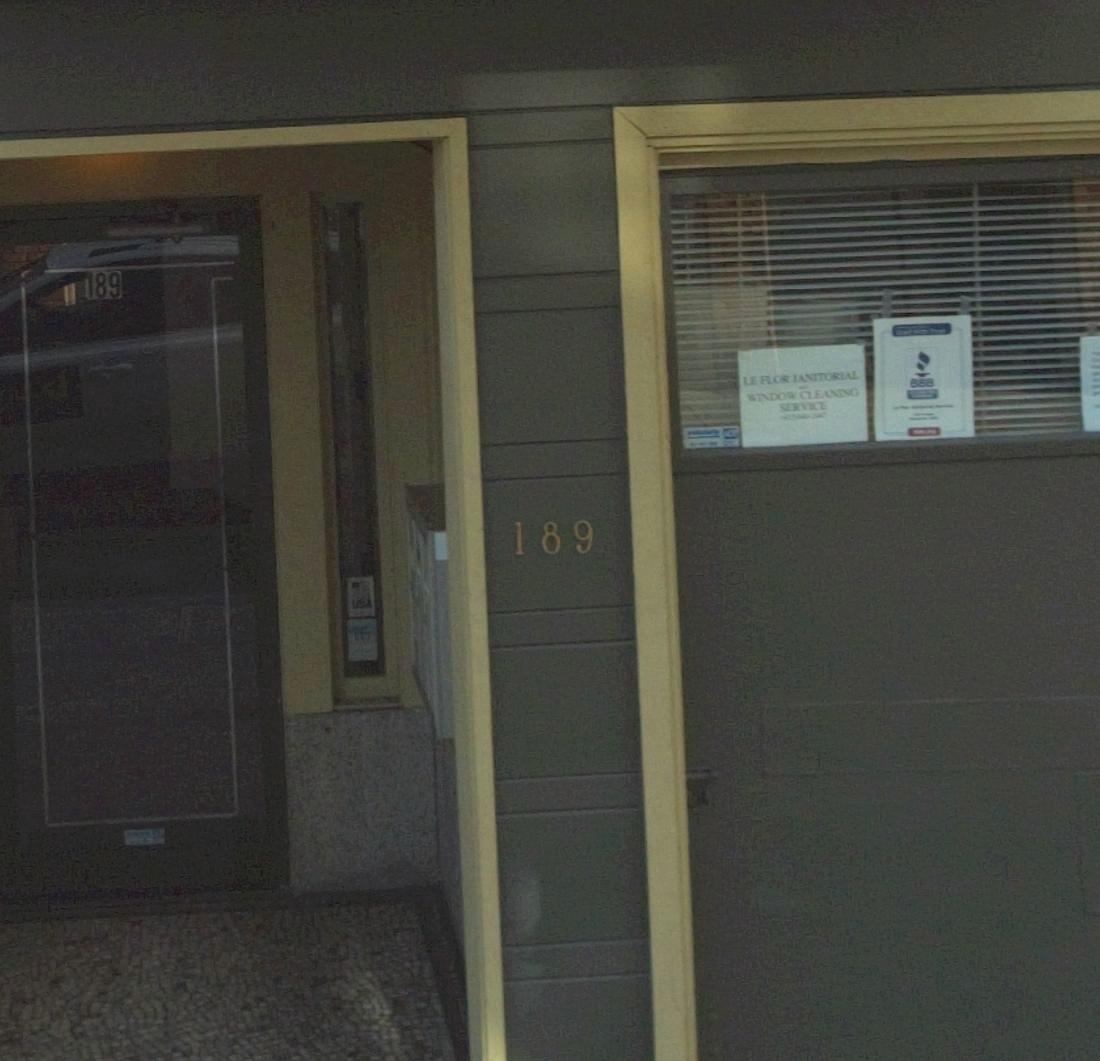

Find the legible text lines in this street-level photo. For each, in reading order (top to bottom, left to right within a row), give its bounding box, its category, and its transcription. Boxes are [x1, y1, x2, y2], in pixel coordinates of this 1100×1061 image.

[82, 269, 124, 302] StreetNumber: 189
[740, 367, 864, 389] None: LE FLOR JANITORIAL
[743, 385, 862, 405] None: WINDOW CLEANING
[776, 397, 832, 416] None: SERVICE
[511, 516, 596, 559] StreetNumber: 189